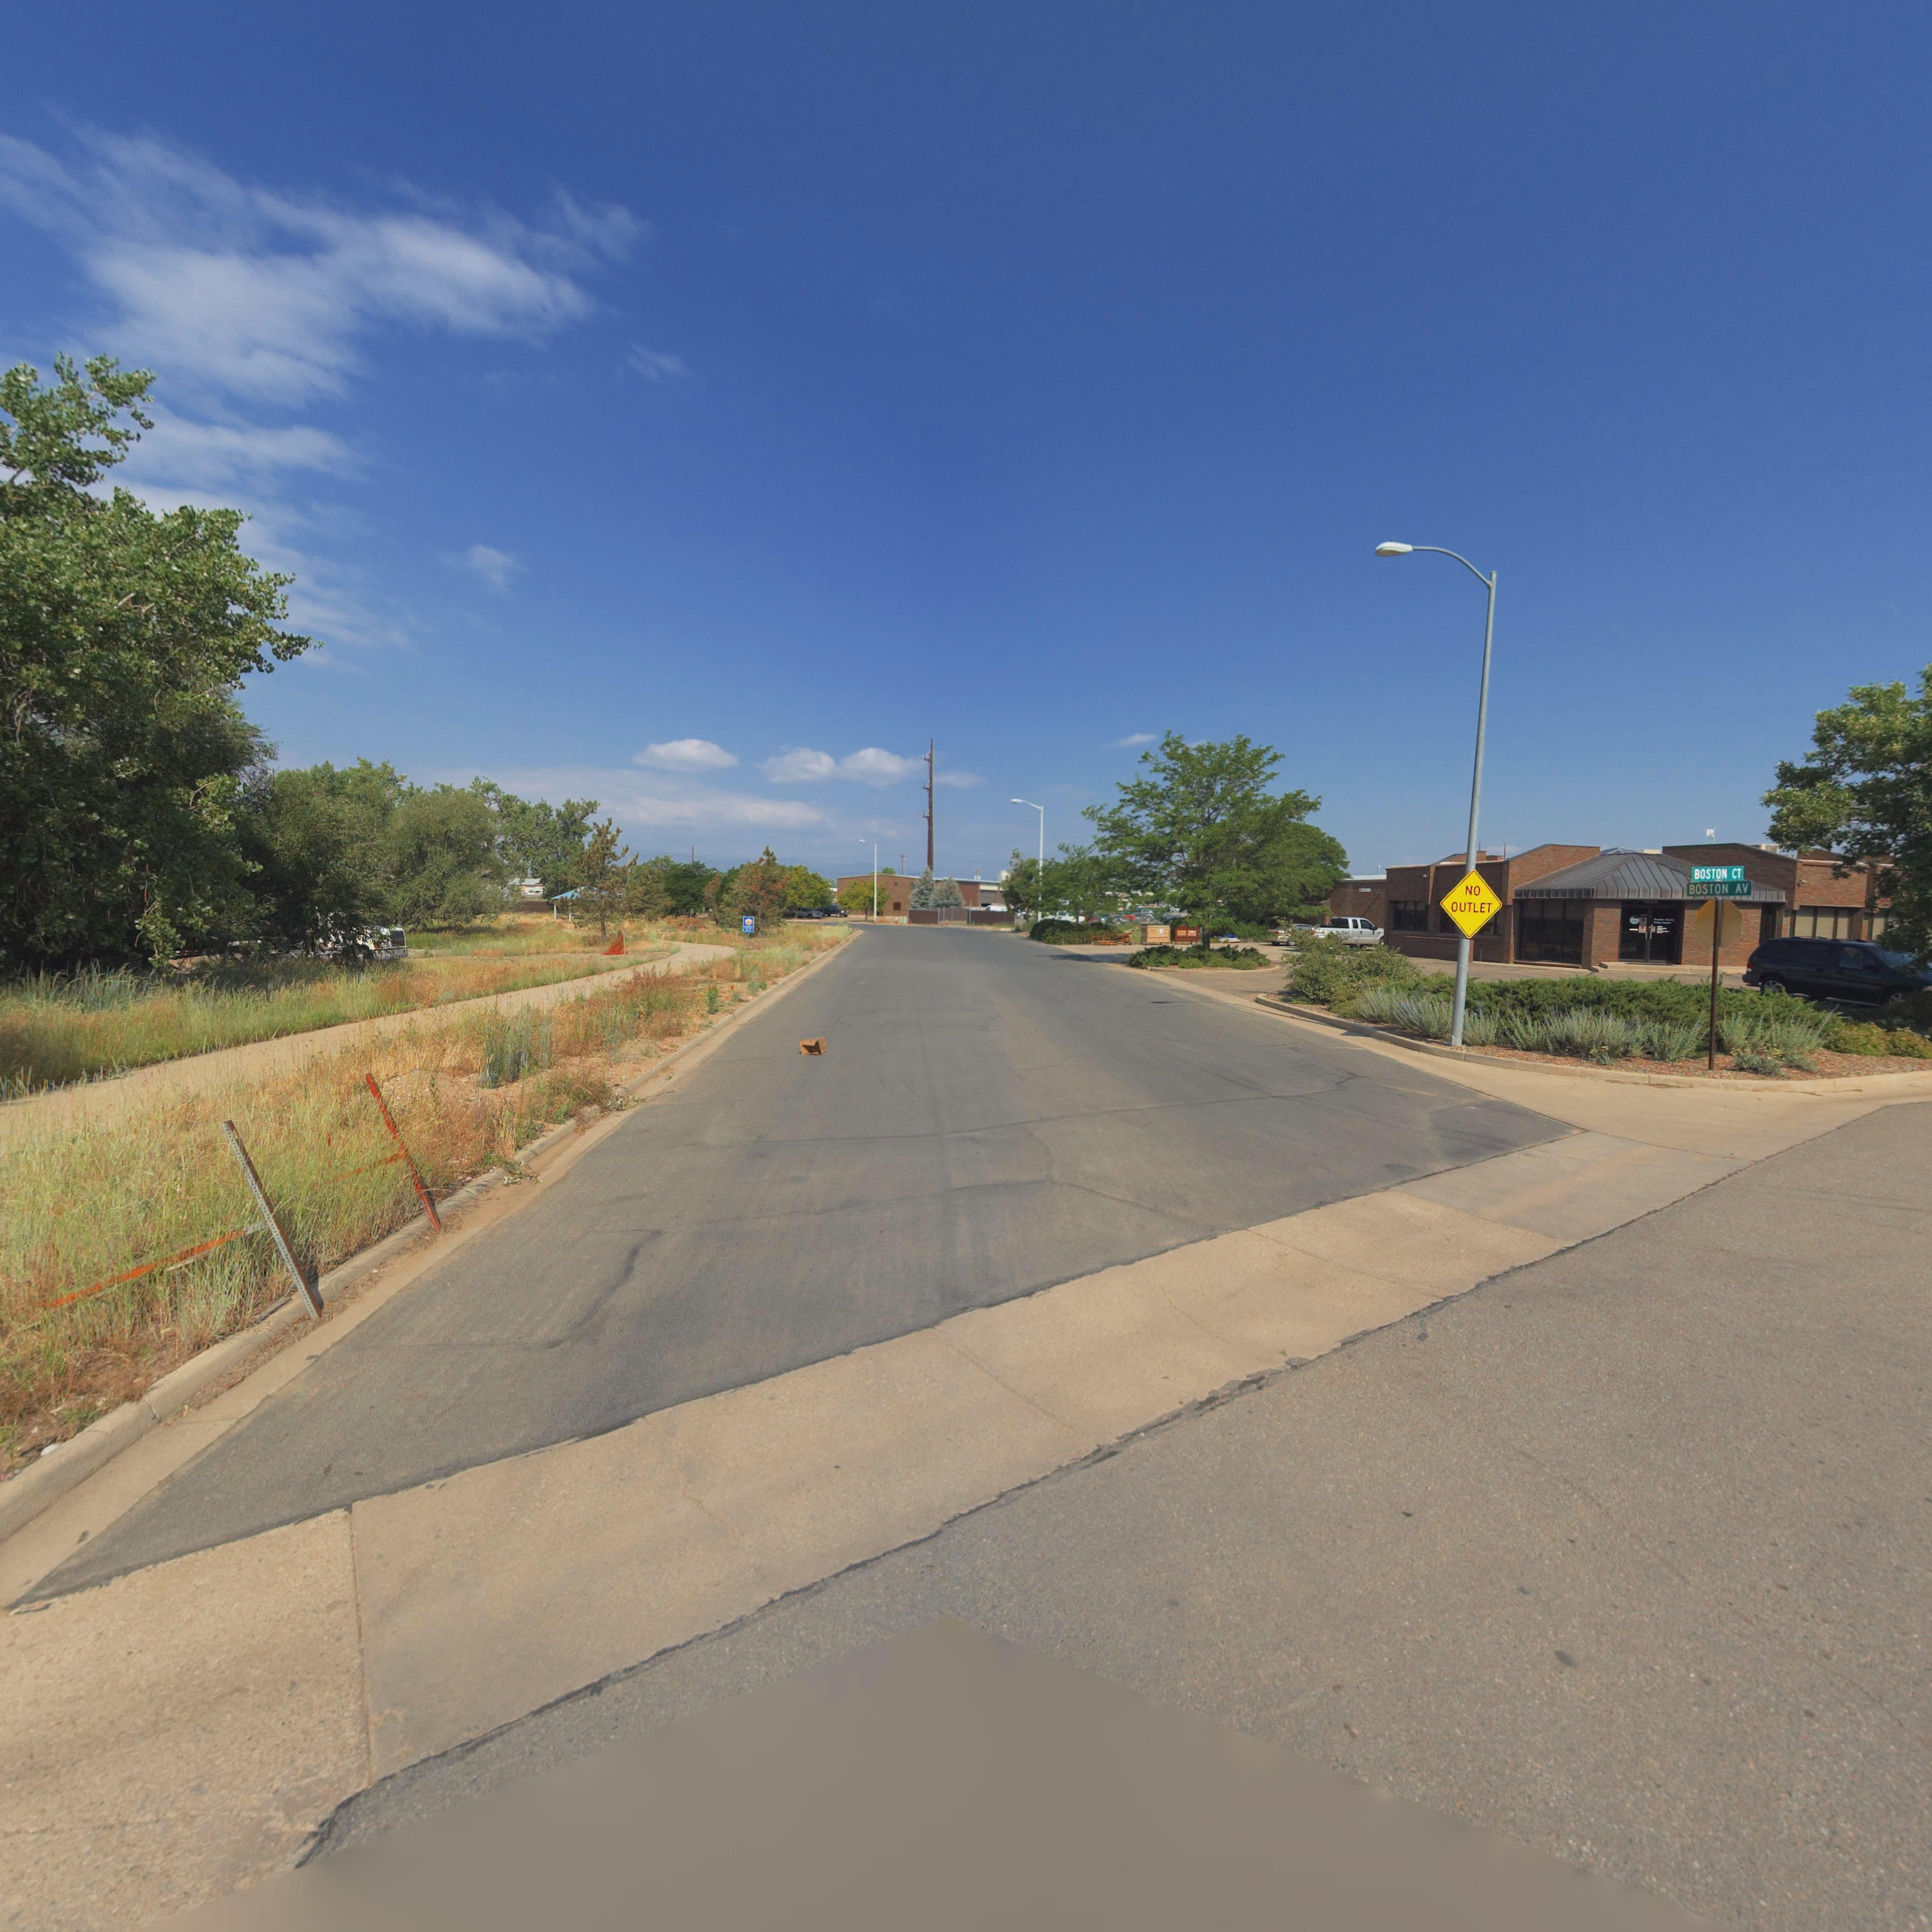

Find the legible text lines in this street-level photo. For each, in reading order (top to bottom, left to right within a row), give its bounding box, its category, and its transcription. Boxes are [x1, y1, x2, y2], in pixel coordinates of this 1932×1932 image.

[1693, 868, 1742, 879] StreetName: BOSTON CT
[1688, 882, 1749, 895] StreetName: BOSTON AV
[1643, 899, 1658, 904] StreetNumber: 10*0